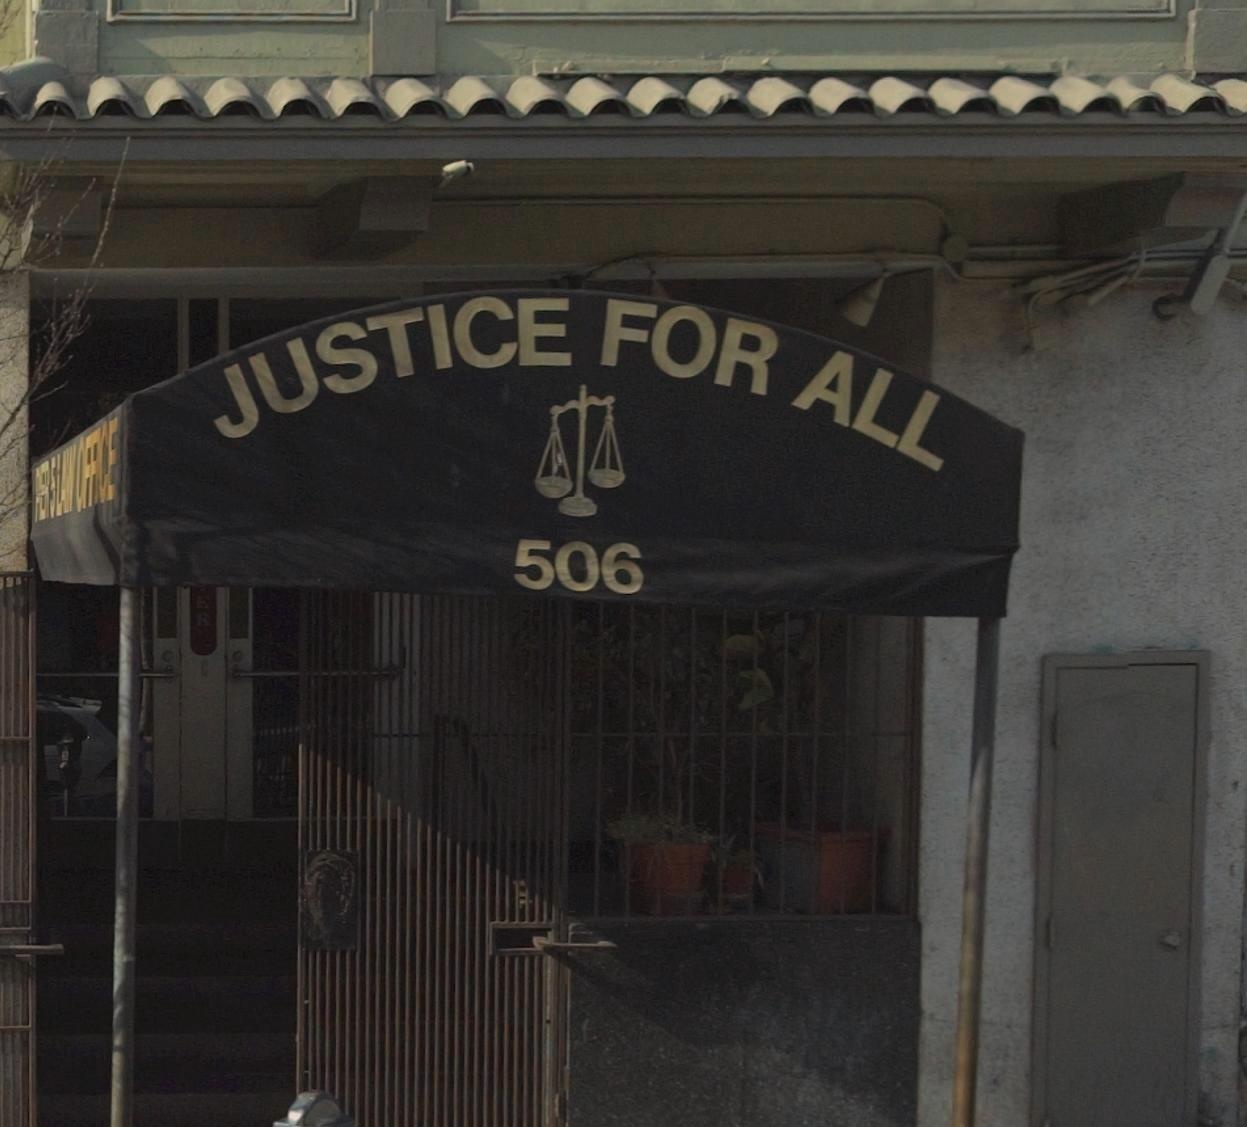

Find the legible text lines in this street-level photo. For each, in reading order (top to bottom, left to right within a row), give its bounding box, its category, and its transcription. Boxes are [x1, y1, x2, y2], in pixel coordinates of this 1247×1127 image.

[208, 291, 950, 474] None: JUSTICE FOR ALL
[54, 411, 123, 519] None: LAW OFFICE
[509, 532, 646, 597] StreetNumber: 506